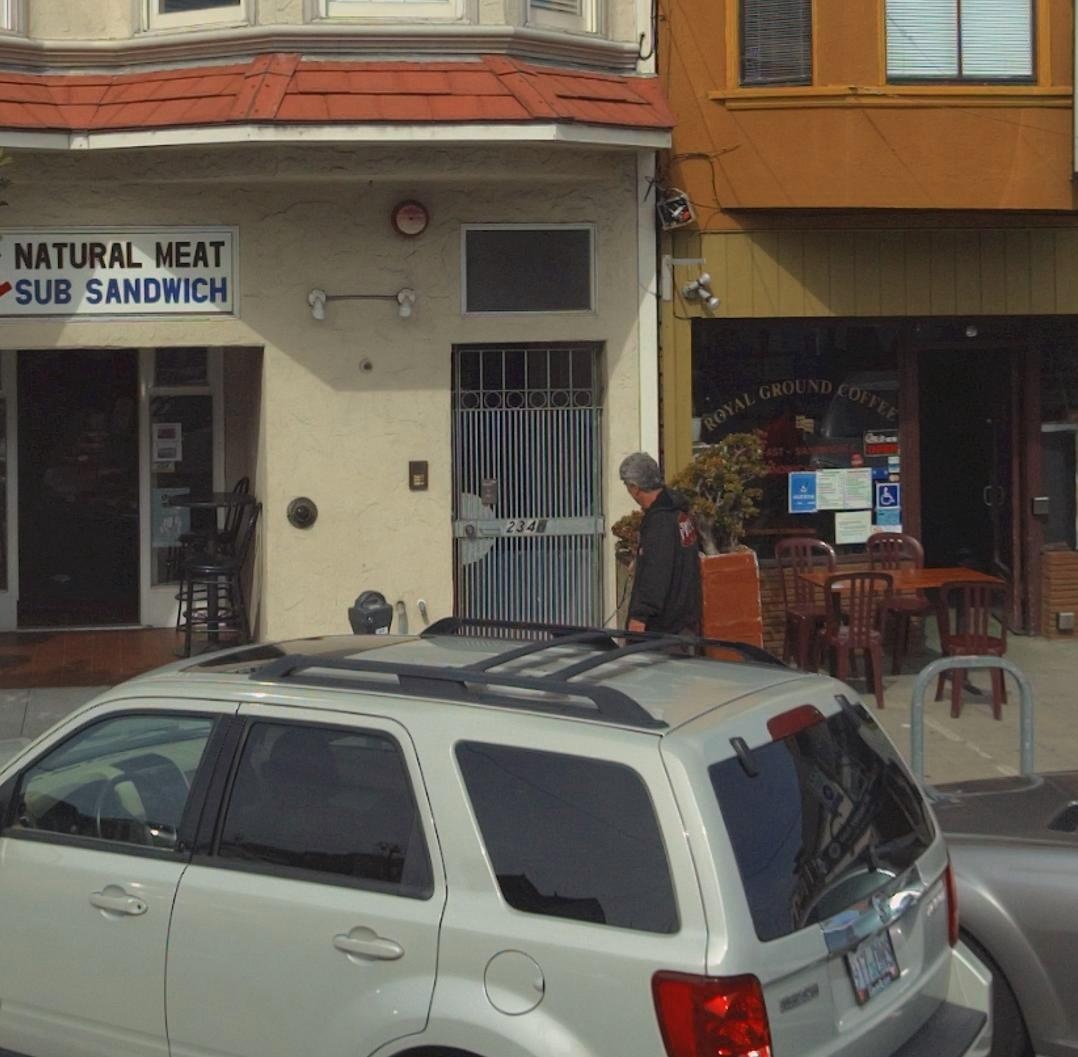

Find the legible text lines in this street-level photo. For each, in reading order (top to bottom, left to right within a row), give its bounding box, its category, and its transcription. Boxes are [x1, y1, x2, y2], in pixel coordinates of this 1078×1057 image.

[11, 238, 227, 272] None: NATURAL MAET
[13, 274, 230, 307] None: SUB SANDWICH
[700, 377, 902, 434] BusinessName: ROYAL GROUND COFFEE
[502, 518, 549, 535] StreetNumber: 234*